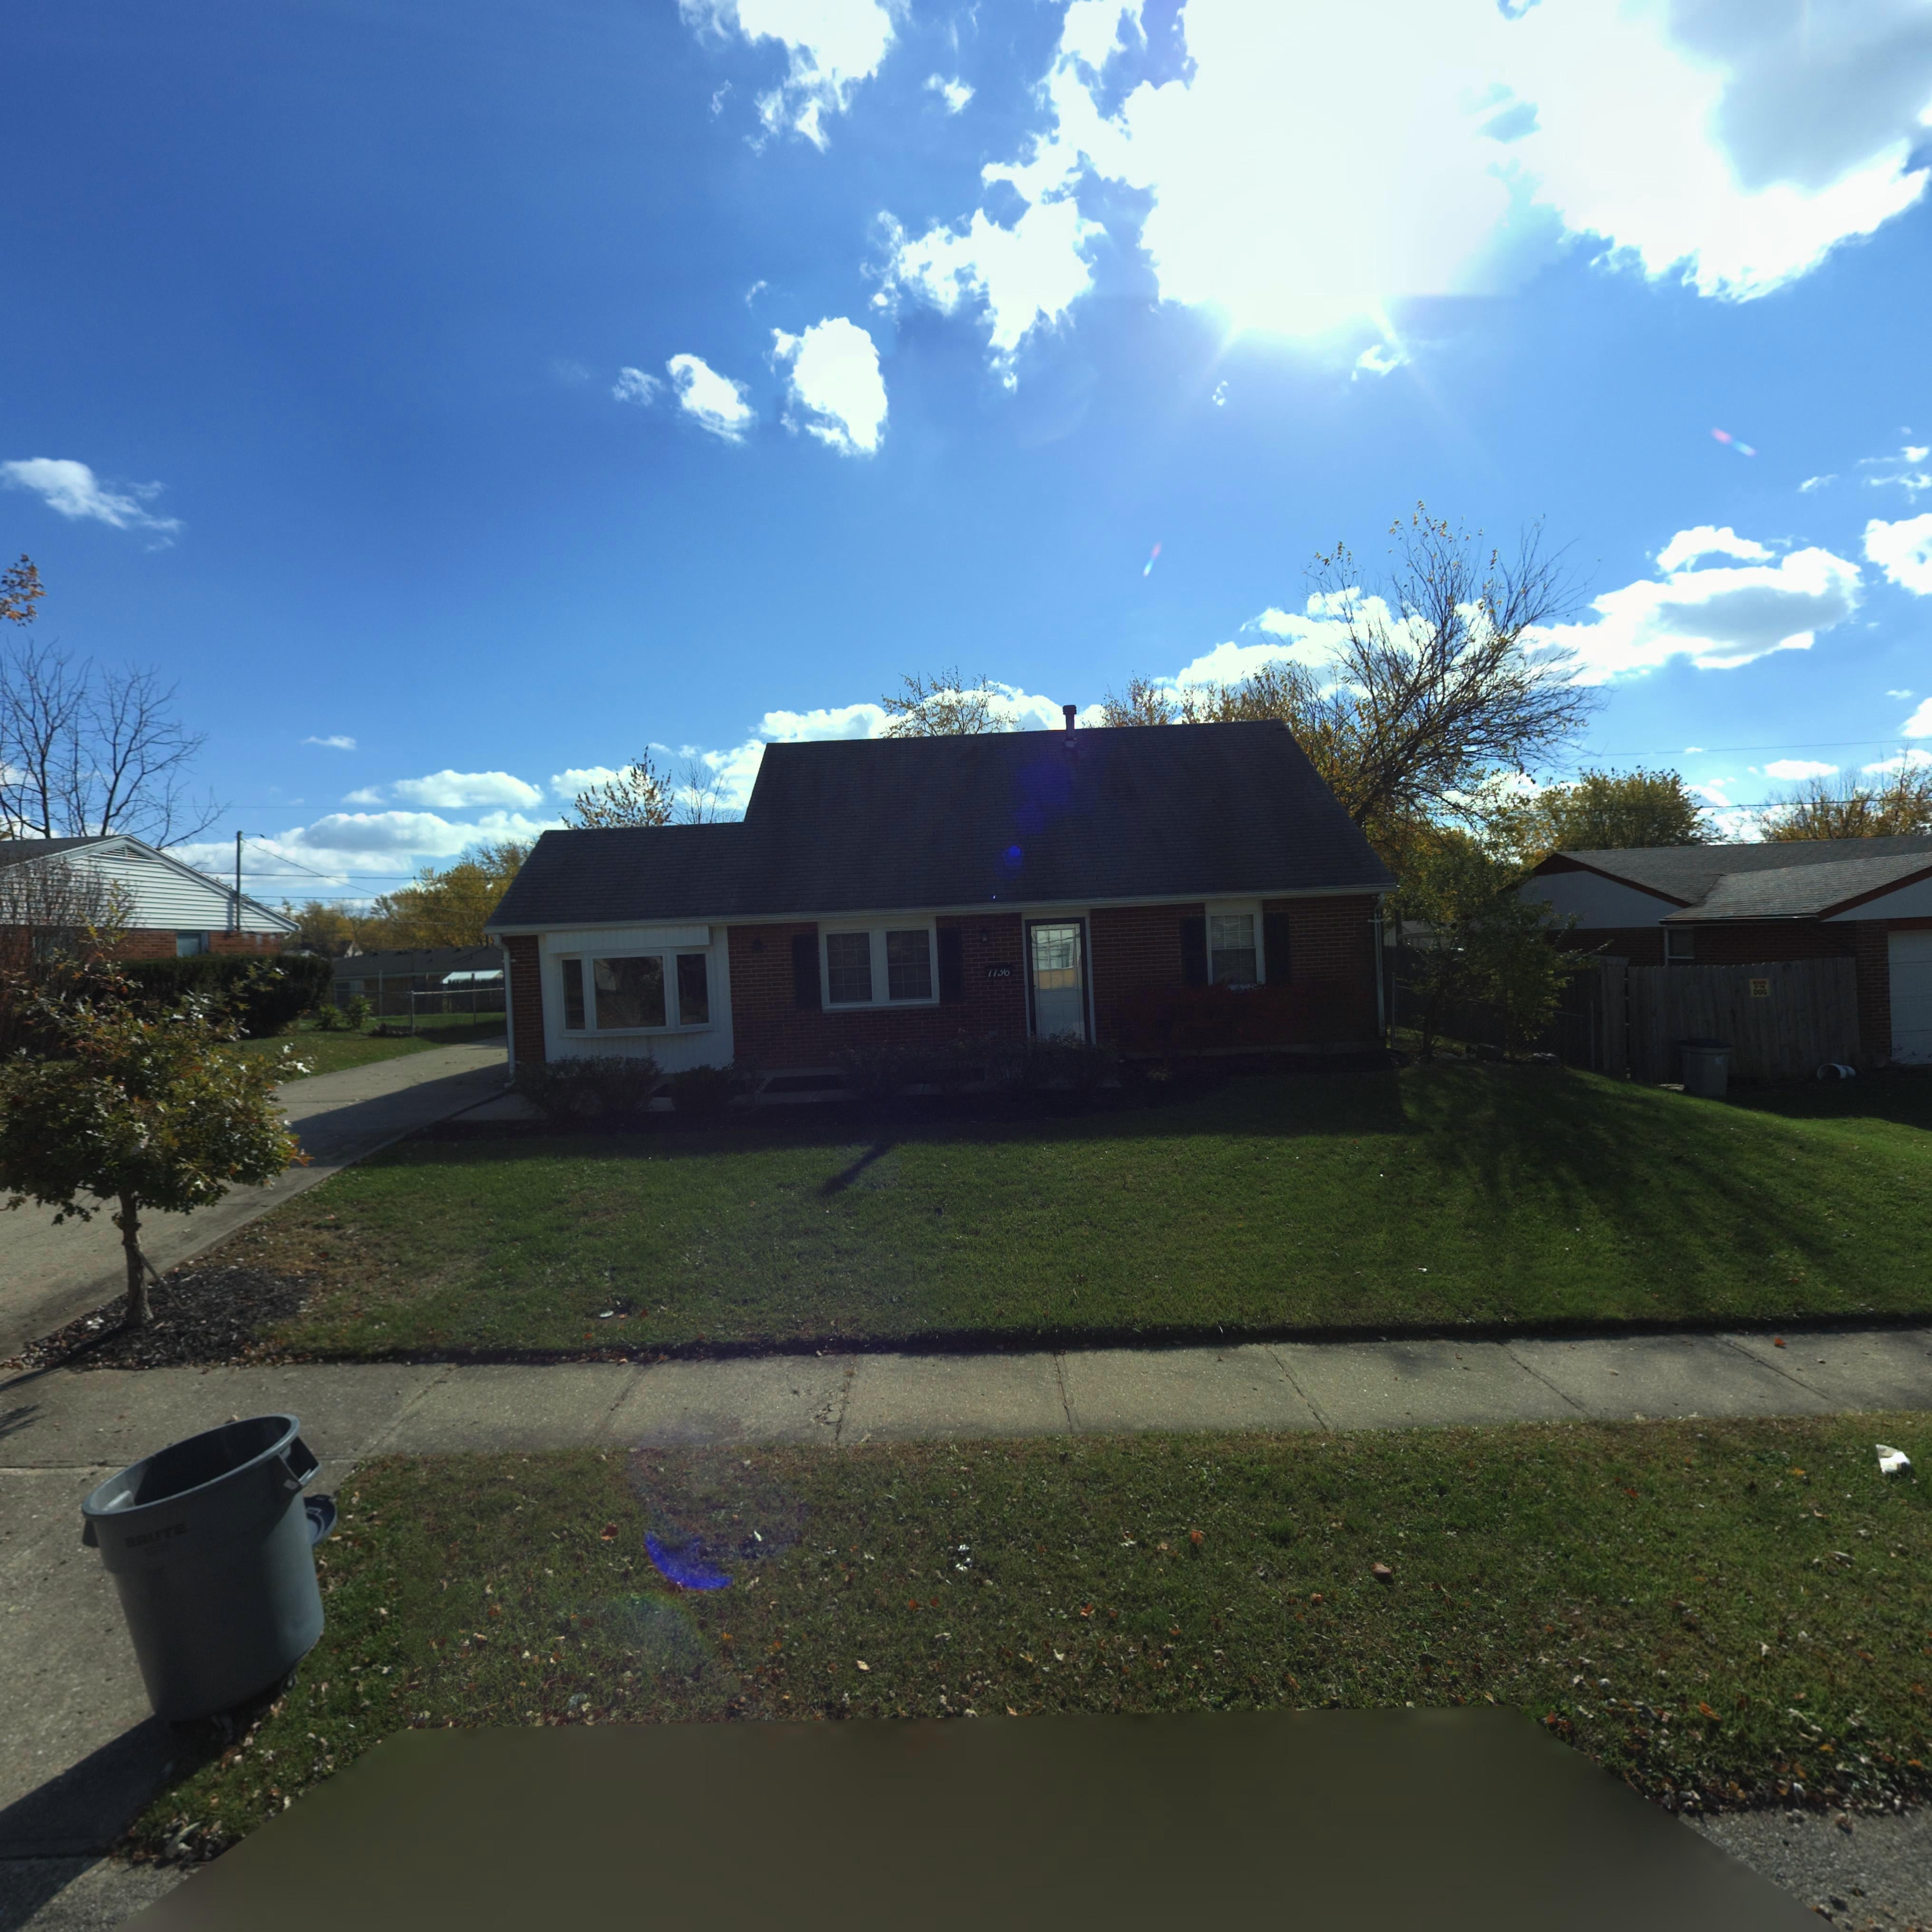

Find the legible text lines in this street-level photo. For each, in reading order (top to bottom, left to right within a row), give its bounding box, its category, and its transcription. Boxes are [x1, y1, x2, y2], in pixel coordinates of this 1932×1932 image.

[986, 967, 1011, 977] StreetNumber: 7736